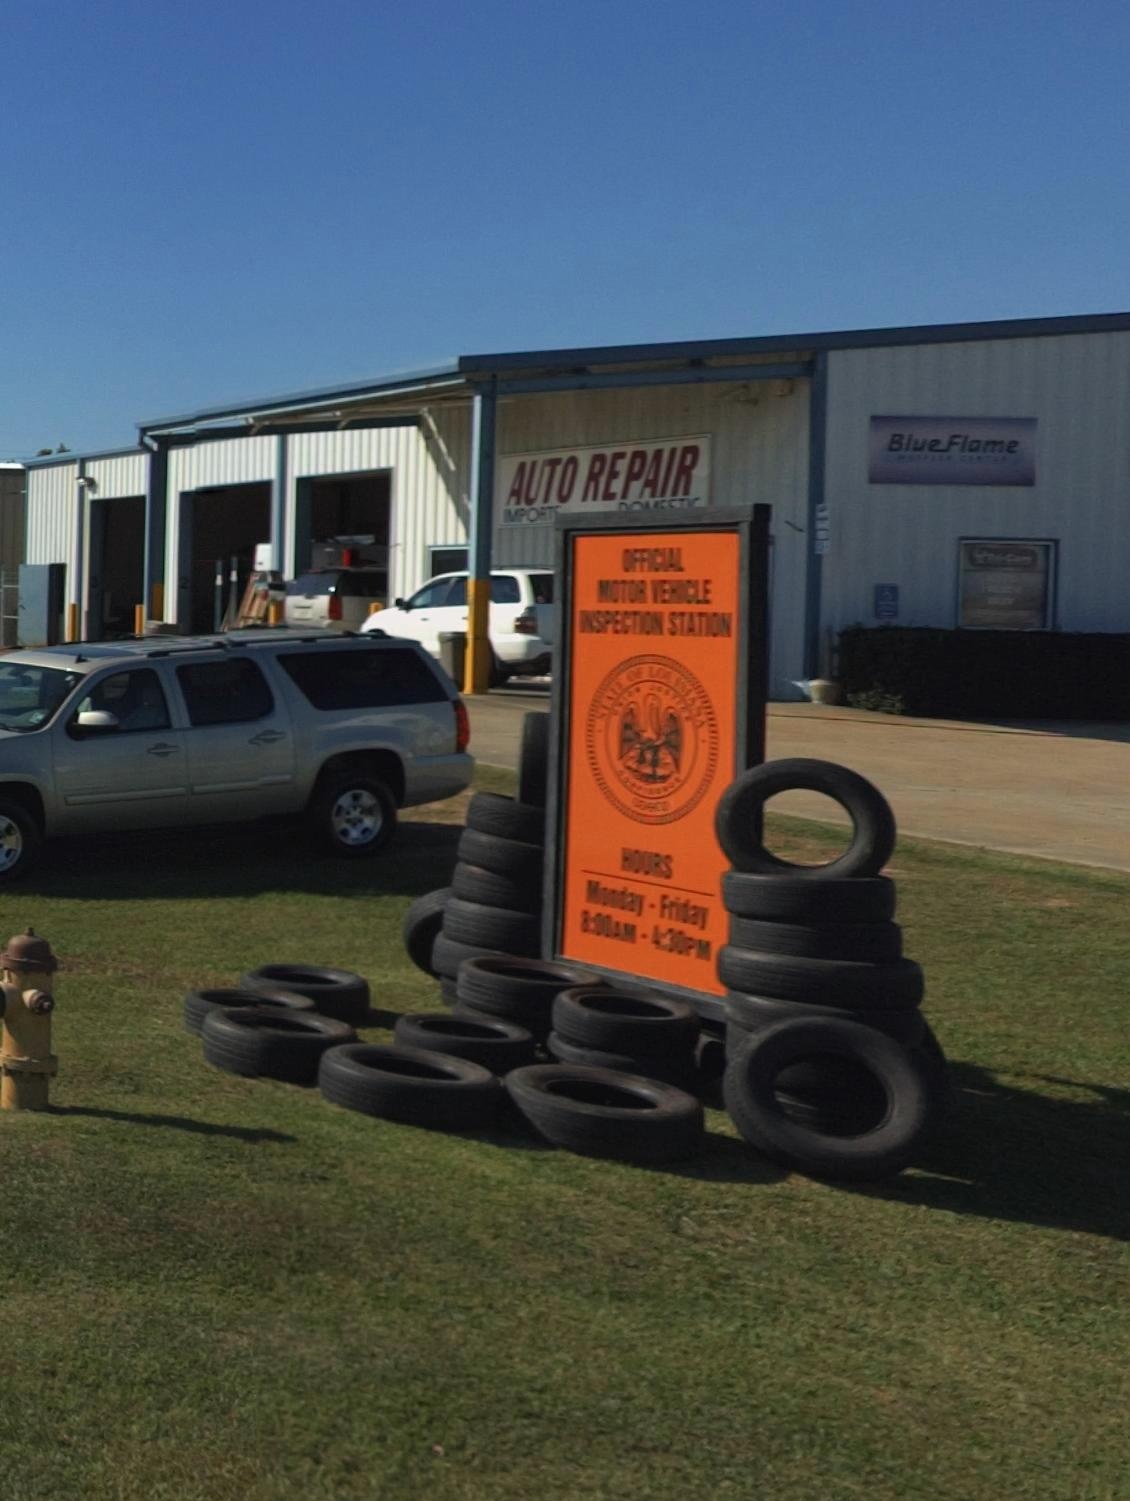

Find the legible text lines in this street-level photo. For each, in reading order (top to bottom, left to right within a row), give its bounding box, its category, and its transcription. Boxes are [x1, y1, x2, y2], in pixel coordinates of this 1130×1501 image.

[883, 430, 1022, 455] None: Blueb Flame
[501, 442, 703, 509] None: AUTO REPAIR
[501, 503, 564, 526] None: IMPORT
[618, 544, 688, 576] None: OFFICIAL
[594, 575, 715, 608] None: MOTOR VEHICLE
[576, 606, 735, 641] None: INSPECTION STAITION
[618, 842, 676, 883] None: HOURS
[582, 873, 712, 934] None: M**day-Friday
[578, 906, 715, 966] None: 8:00 AM - 4:30 PM